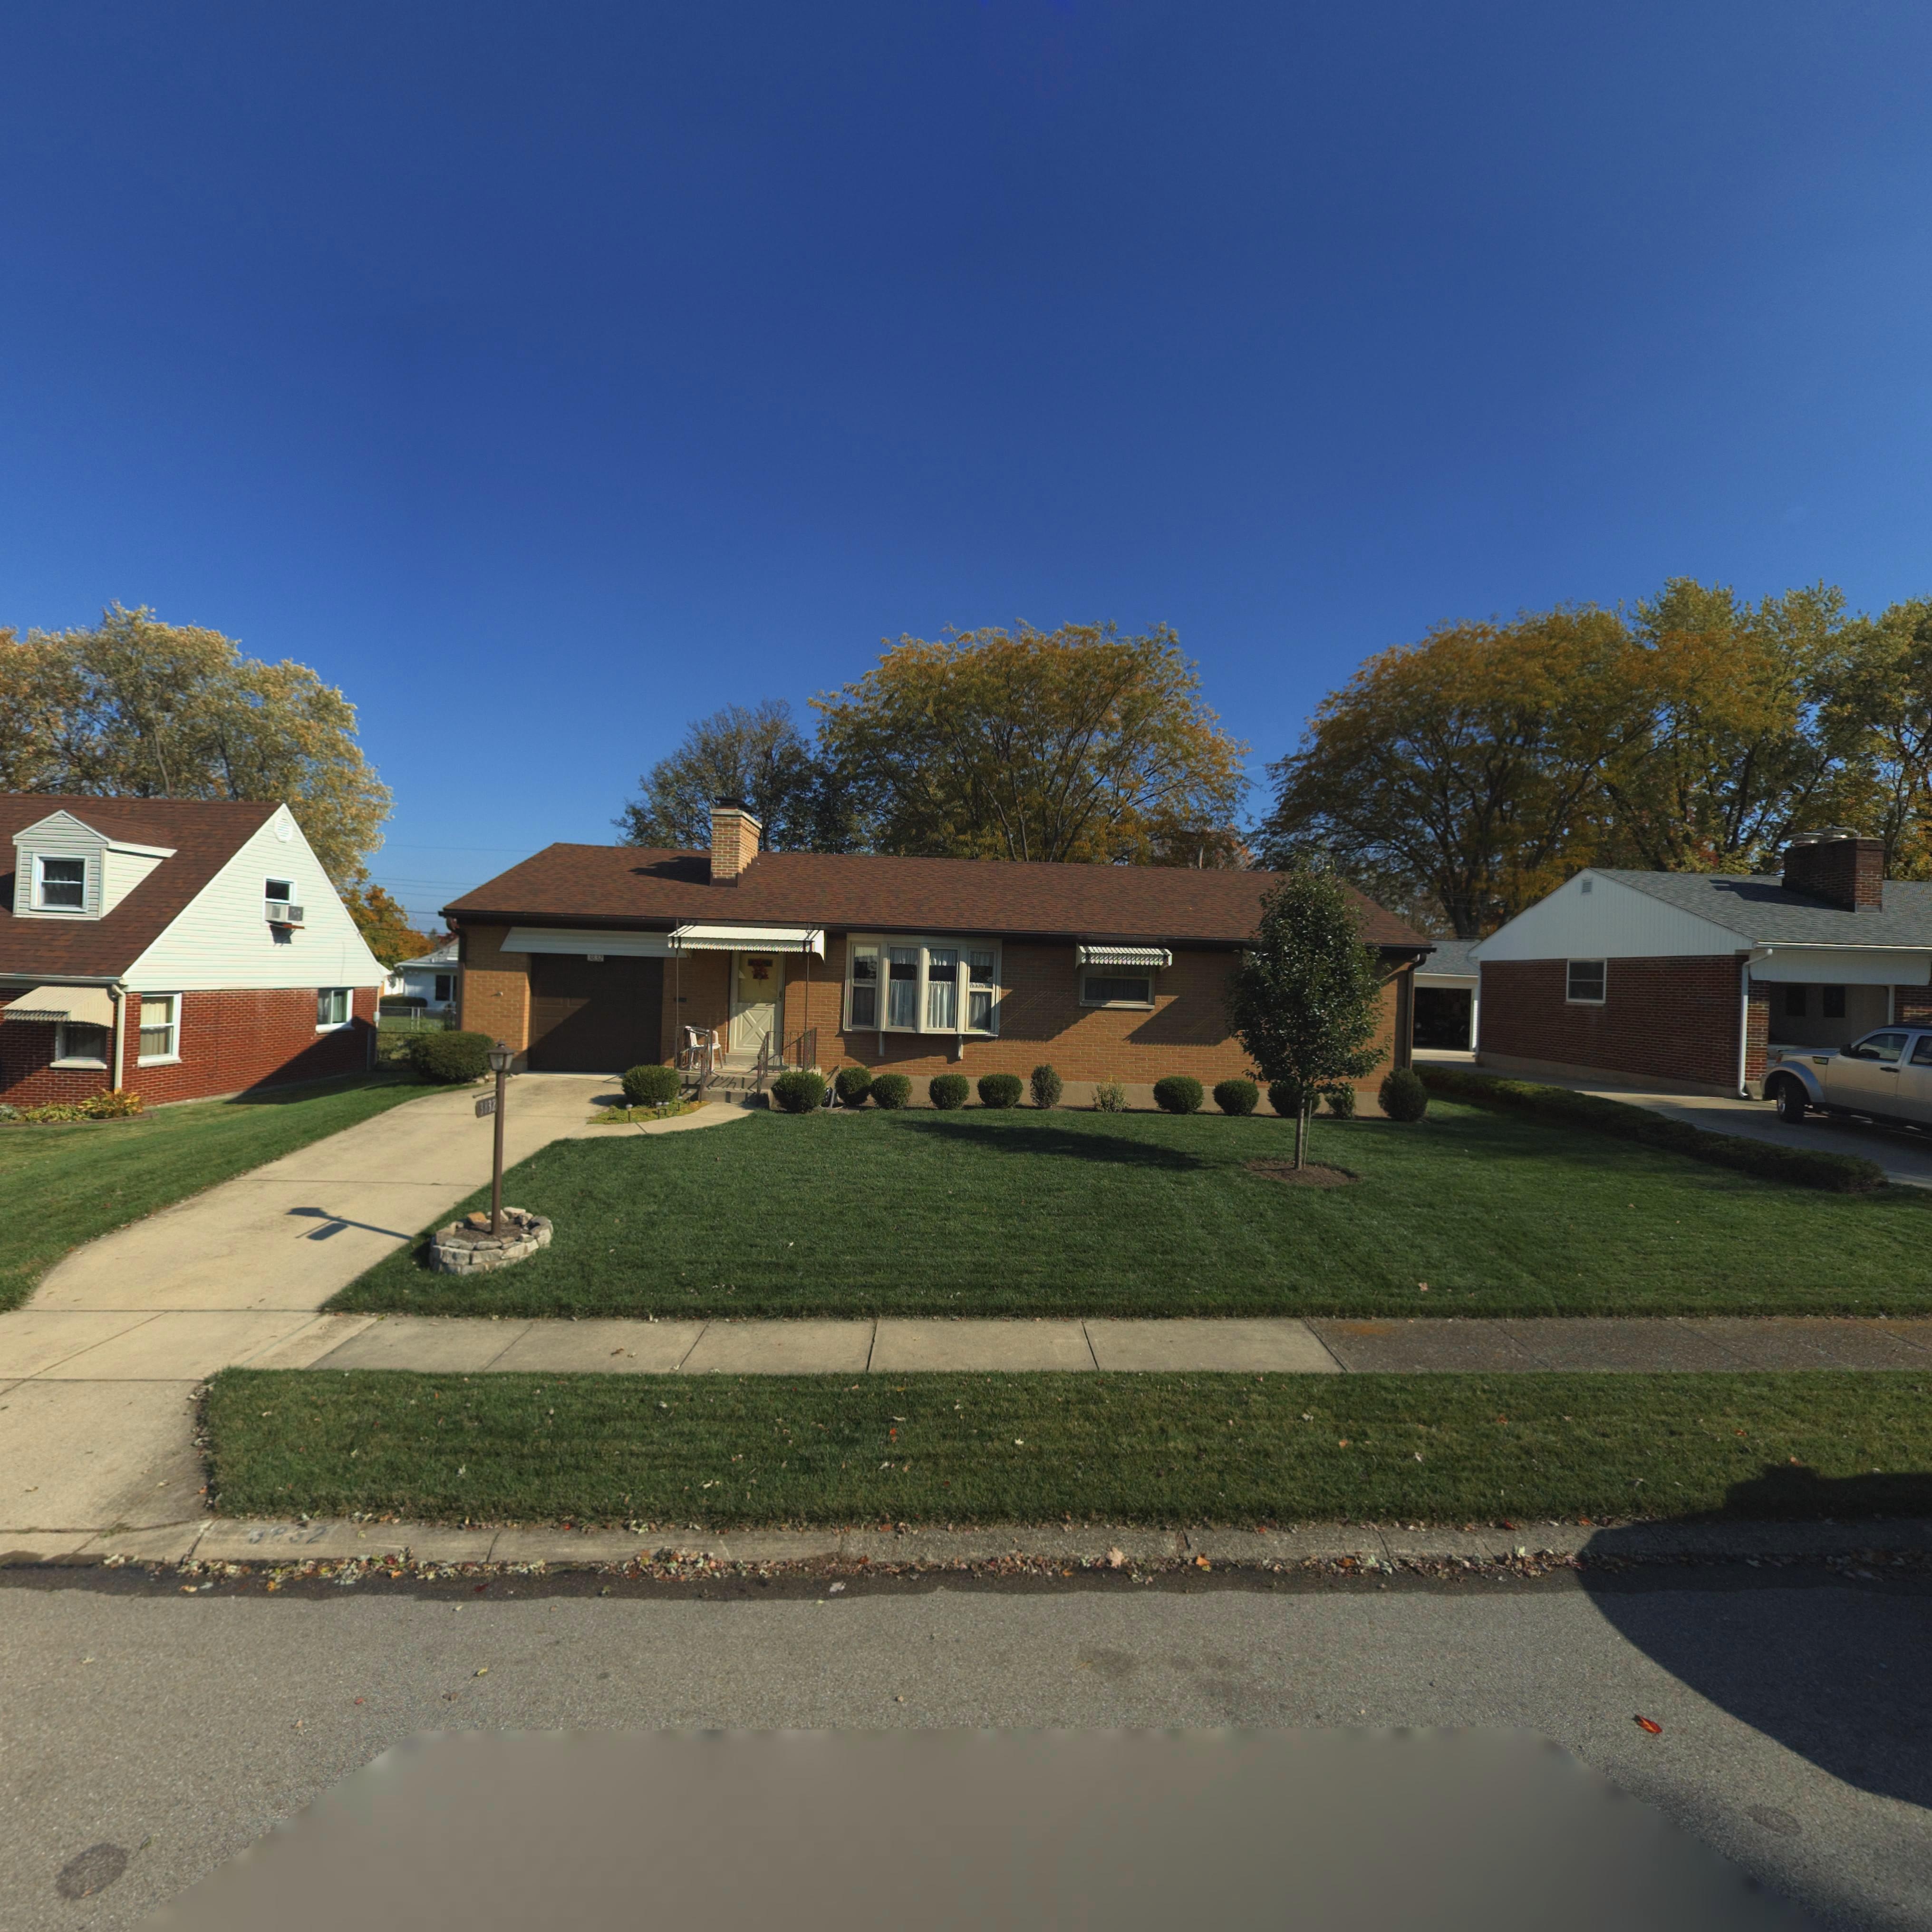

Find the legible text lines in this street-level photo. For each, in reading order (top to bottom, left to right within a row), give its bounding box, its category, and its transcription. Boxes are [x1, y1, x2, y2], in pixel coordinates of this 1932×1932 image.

[588, 953, 603, 962] StreetNumber: 3832
[478, 1097, 498, 1117] StreetNumber: 3832
[245, 1523, 329, 1547] StreetNumber: **32